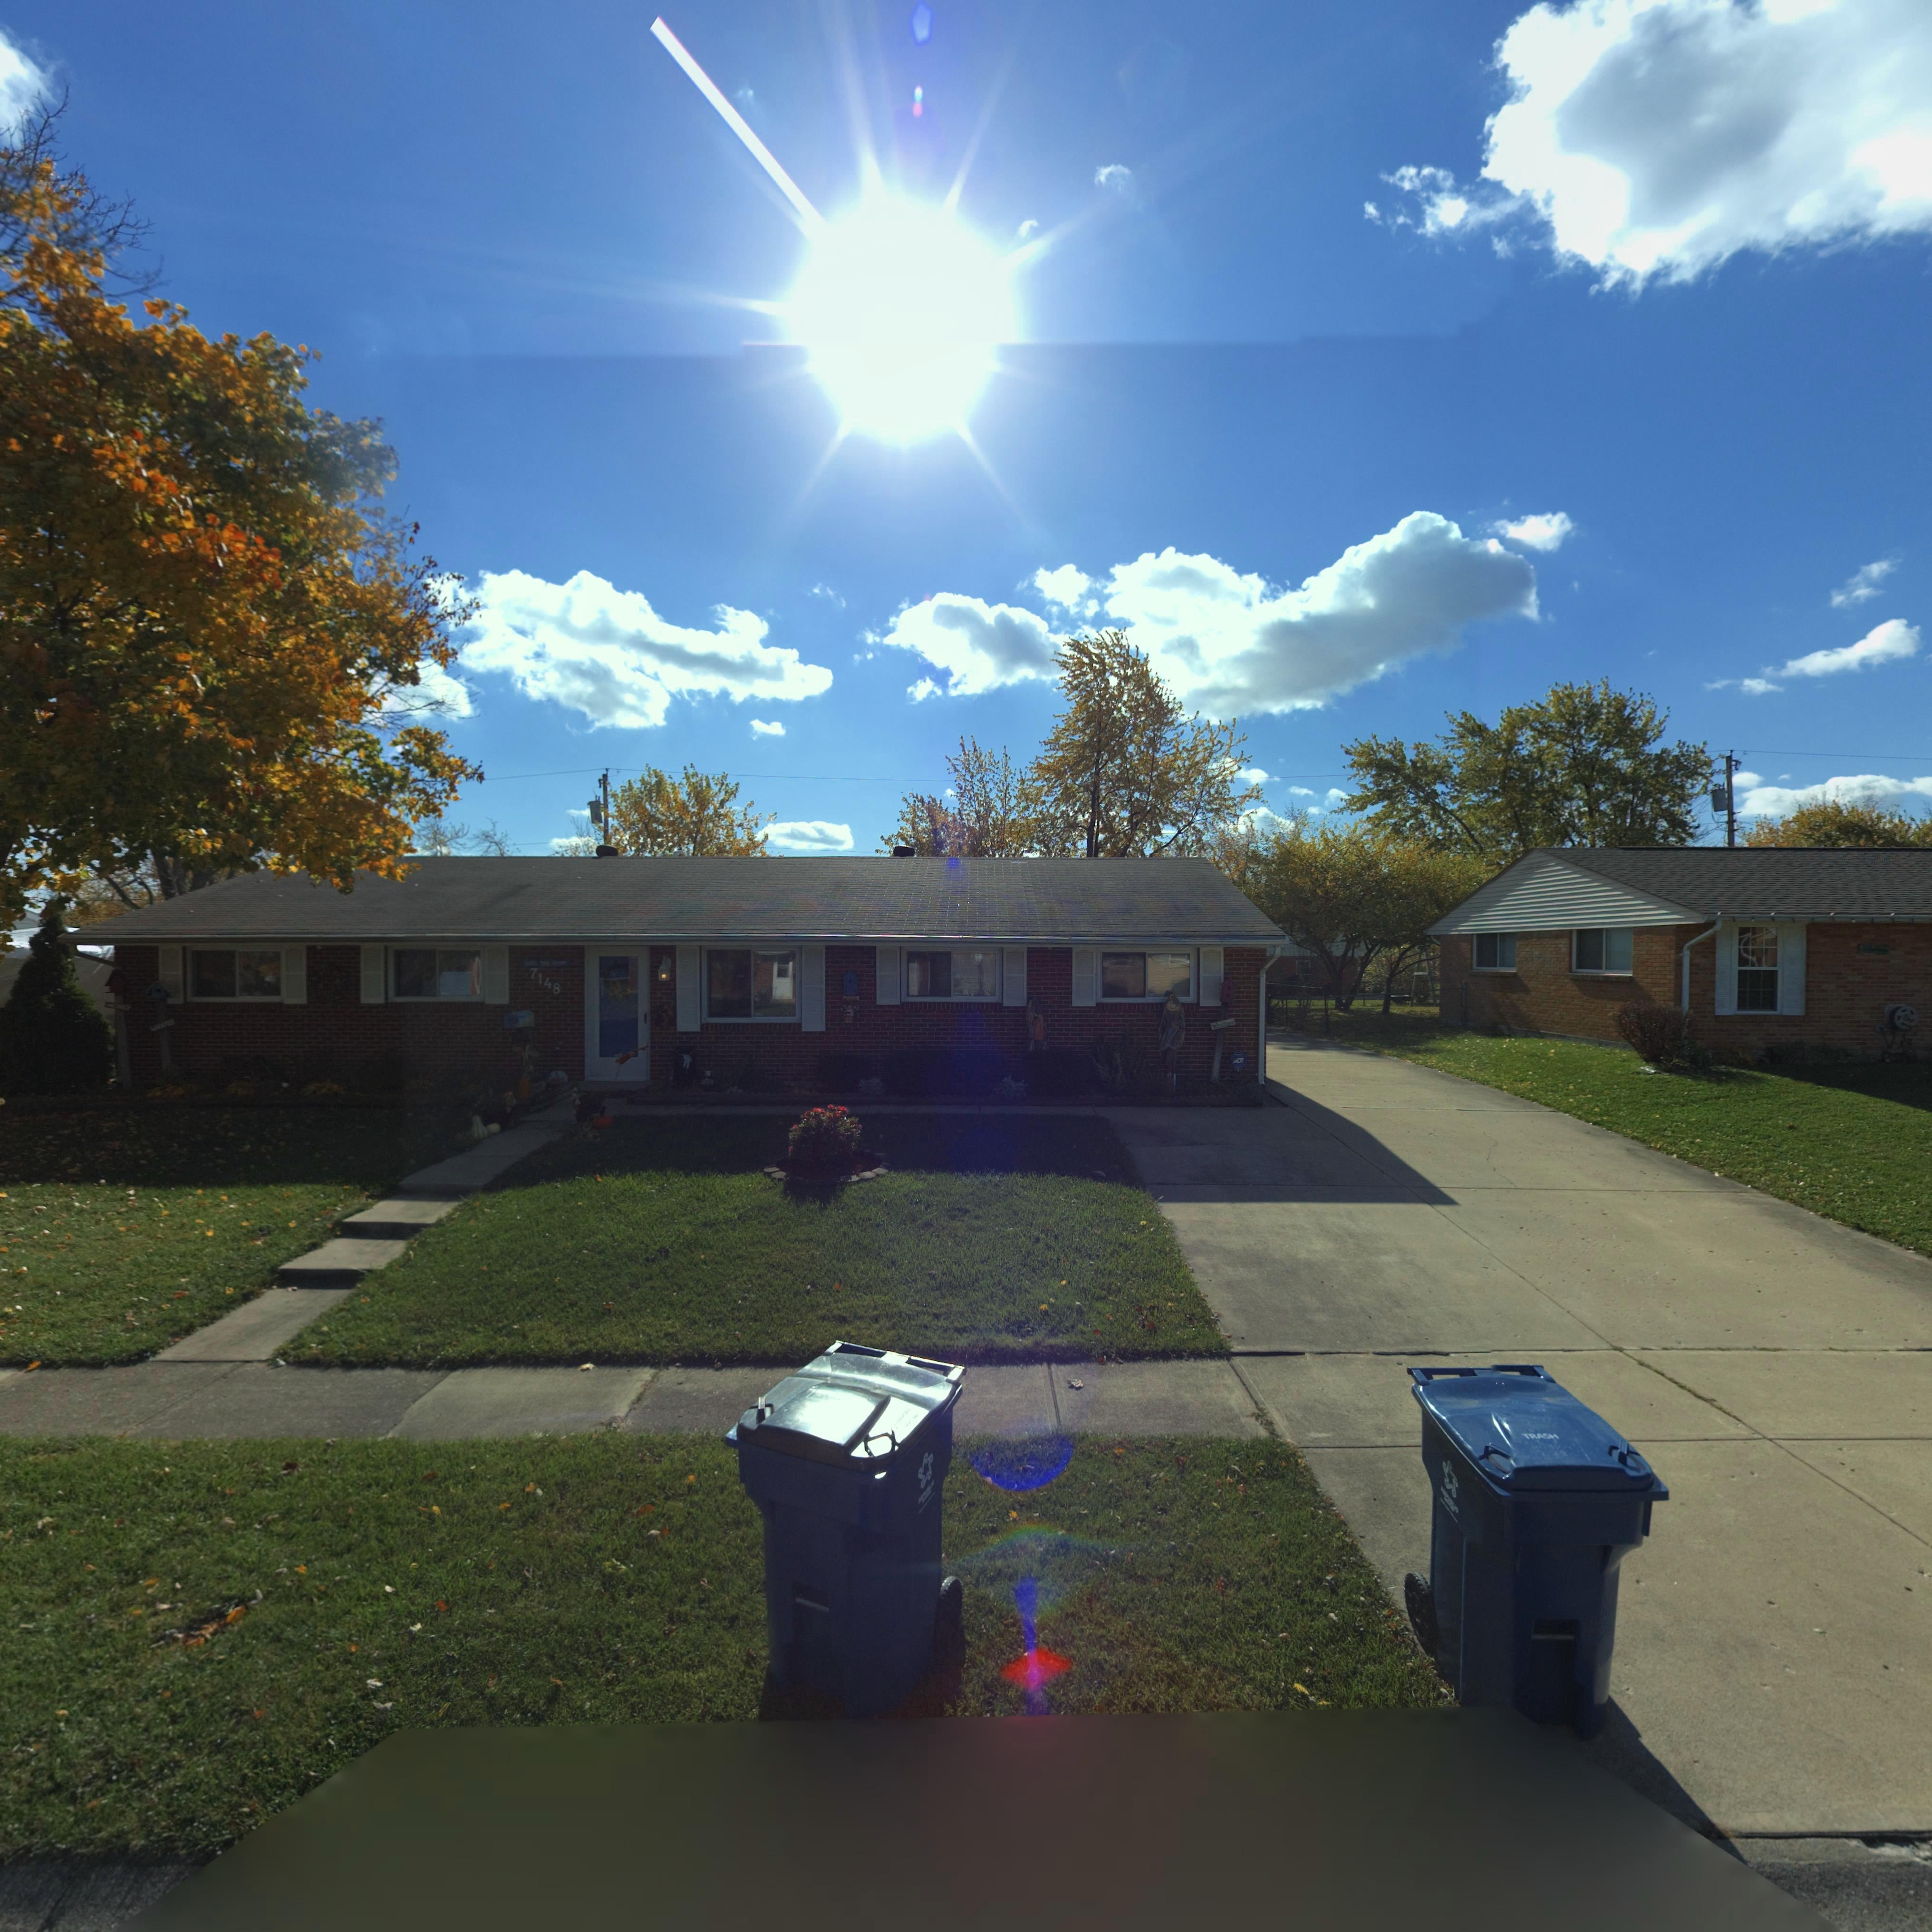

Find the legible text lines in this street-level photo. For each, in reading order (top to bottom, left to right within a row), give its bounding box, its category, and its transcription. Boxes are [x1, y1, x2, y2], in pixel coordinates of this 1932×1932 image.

[529, 967, 562, 996] StreetNumber: 7148